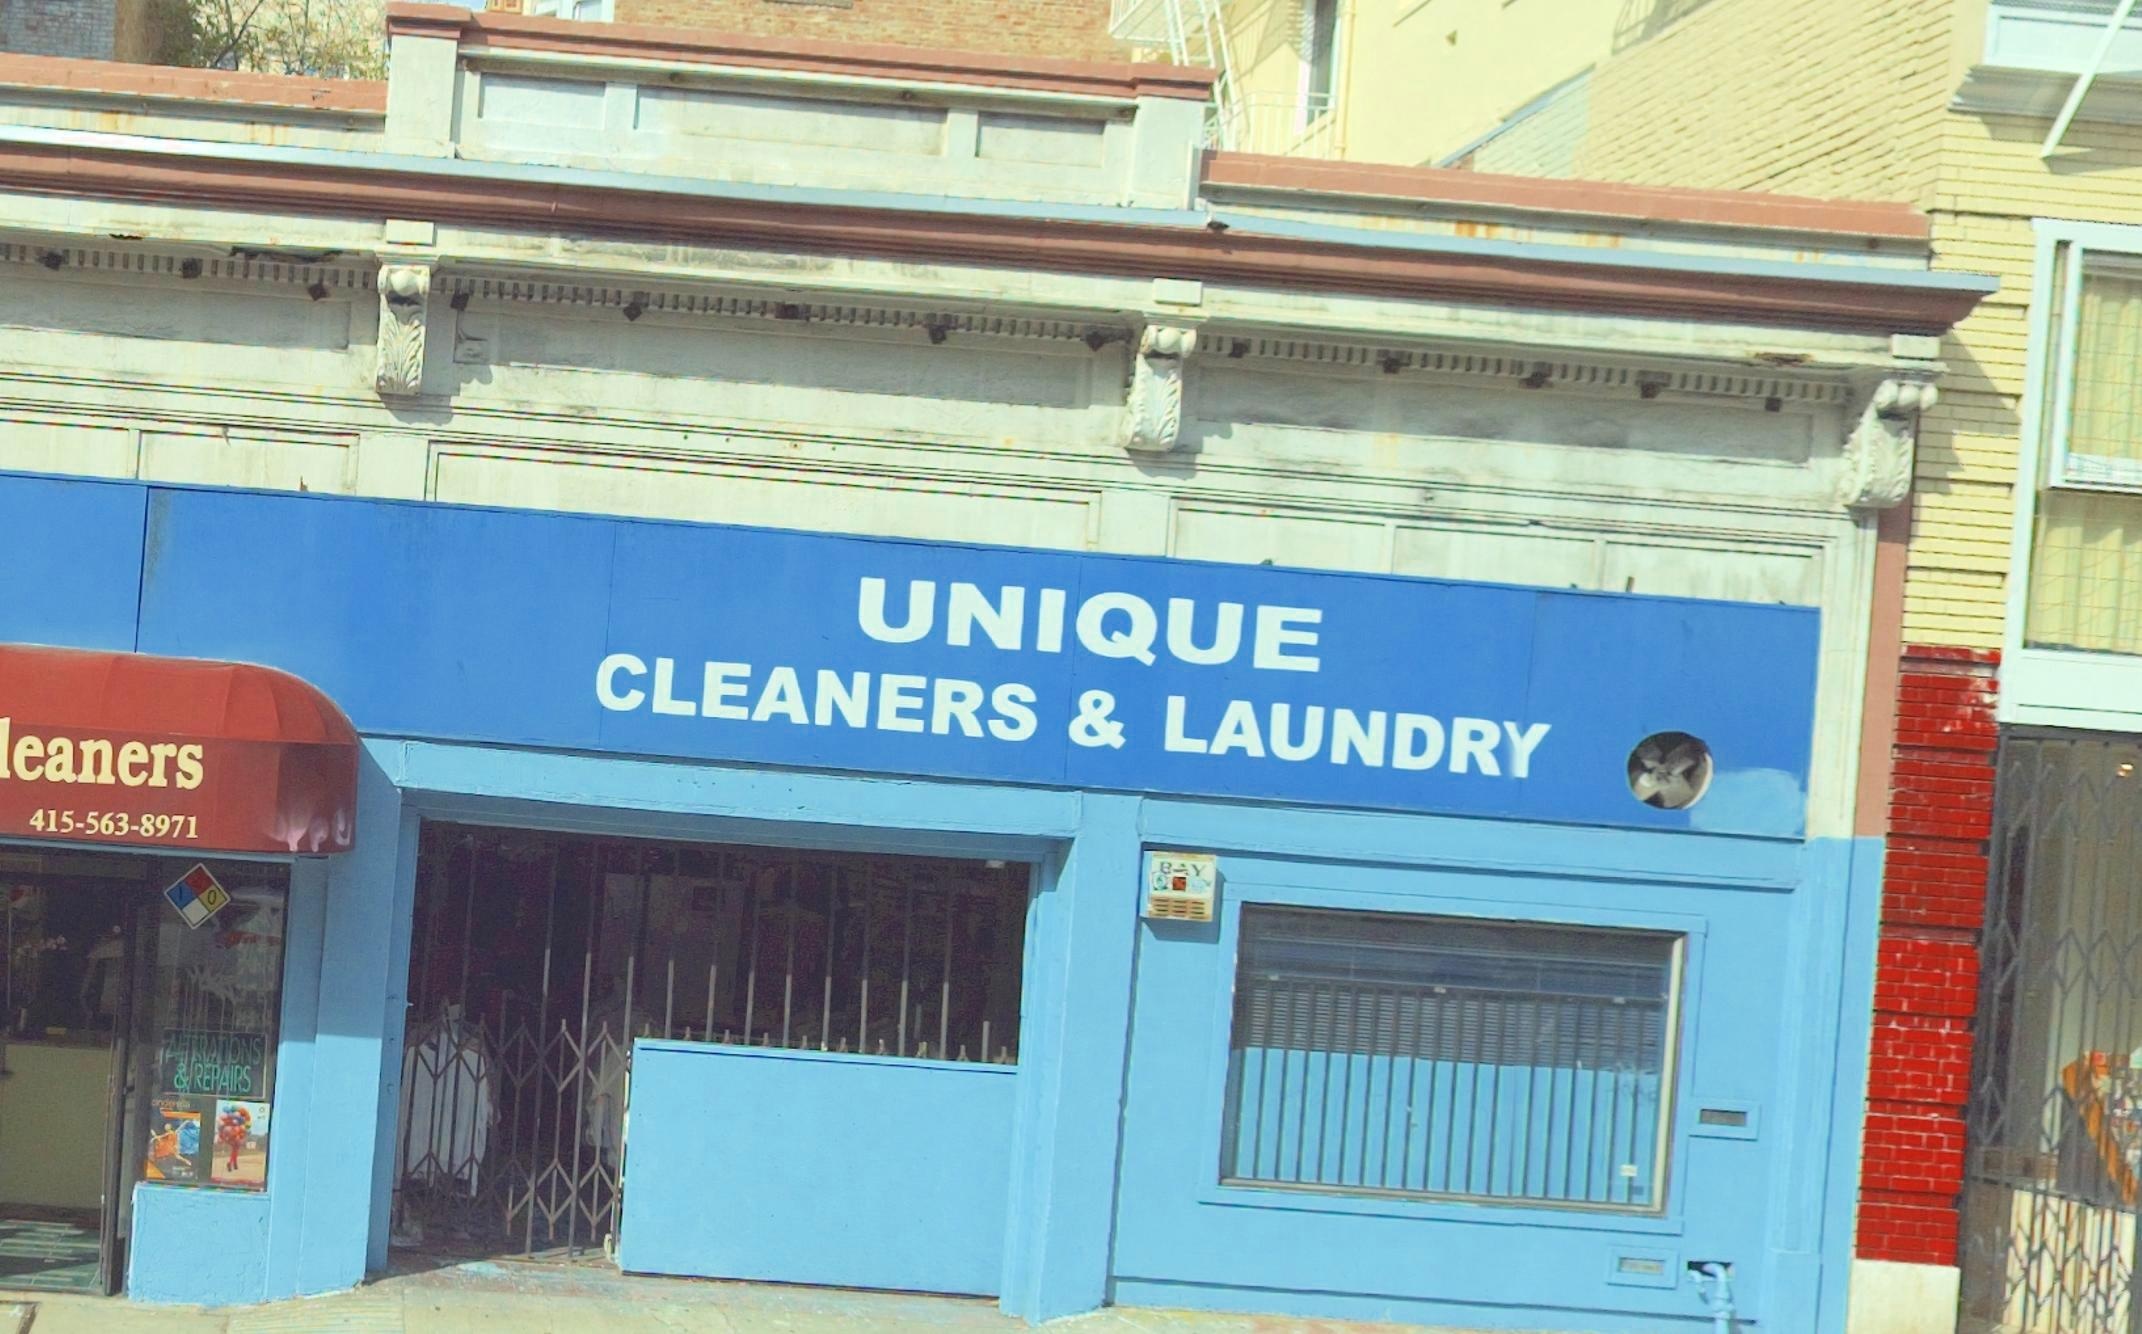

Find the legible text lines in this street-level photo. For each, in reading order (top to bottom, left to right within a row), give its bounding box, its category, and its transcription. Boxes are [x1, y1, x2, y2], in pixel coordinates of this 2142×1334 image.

[851, 569, 1328, 680] BusinessName: UNIQUE
[591, 649, 1560, 787] BusinessName: CLEANERS & LANDR*
[9, 732, 208, 793] BusinessName: eaners
[27, 805, 201, 842] None: 415-563-8971
[1157, 858, 1211, 880] None: B*Y
[175, 882, 187, 905] None: I
[205, 886, 220, 908] None: O
[226, 1034, 264, 1067] None: ONS
[191, 1062, 254, 1096] None: REPAIRS